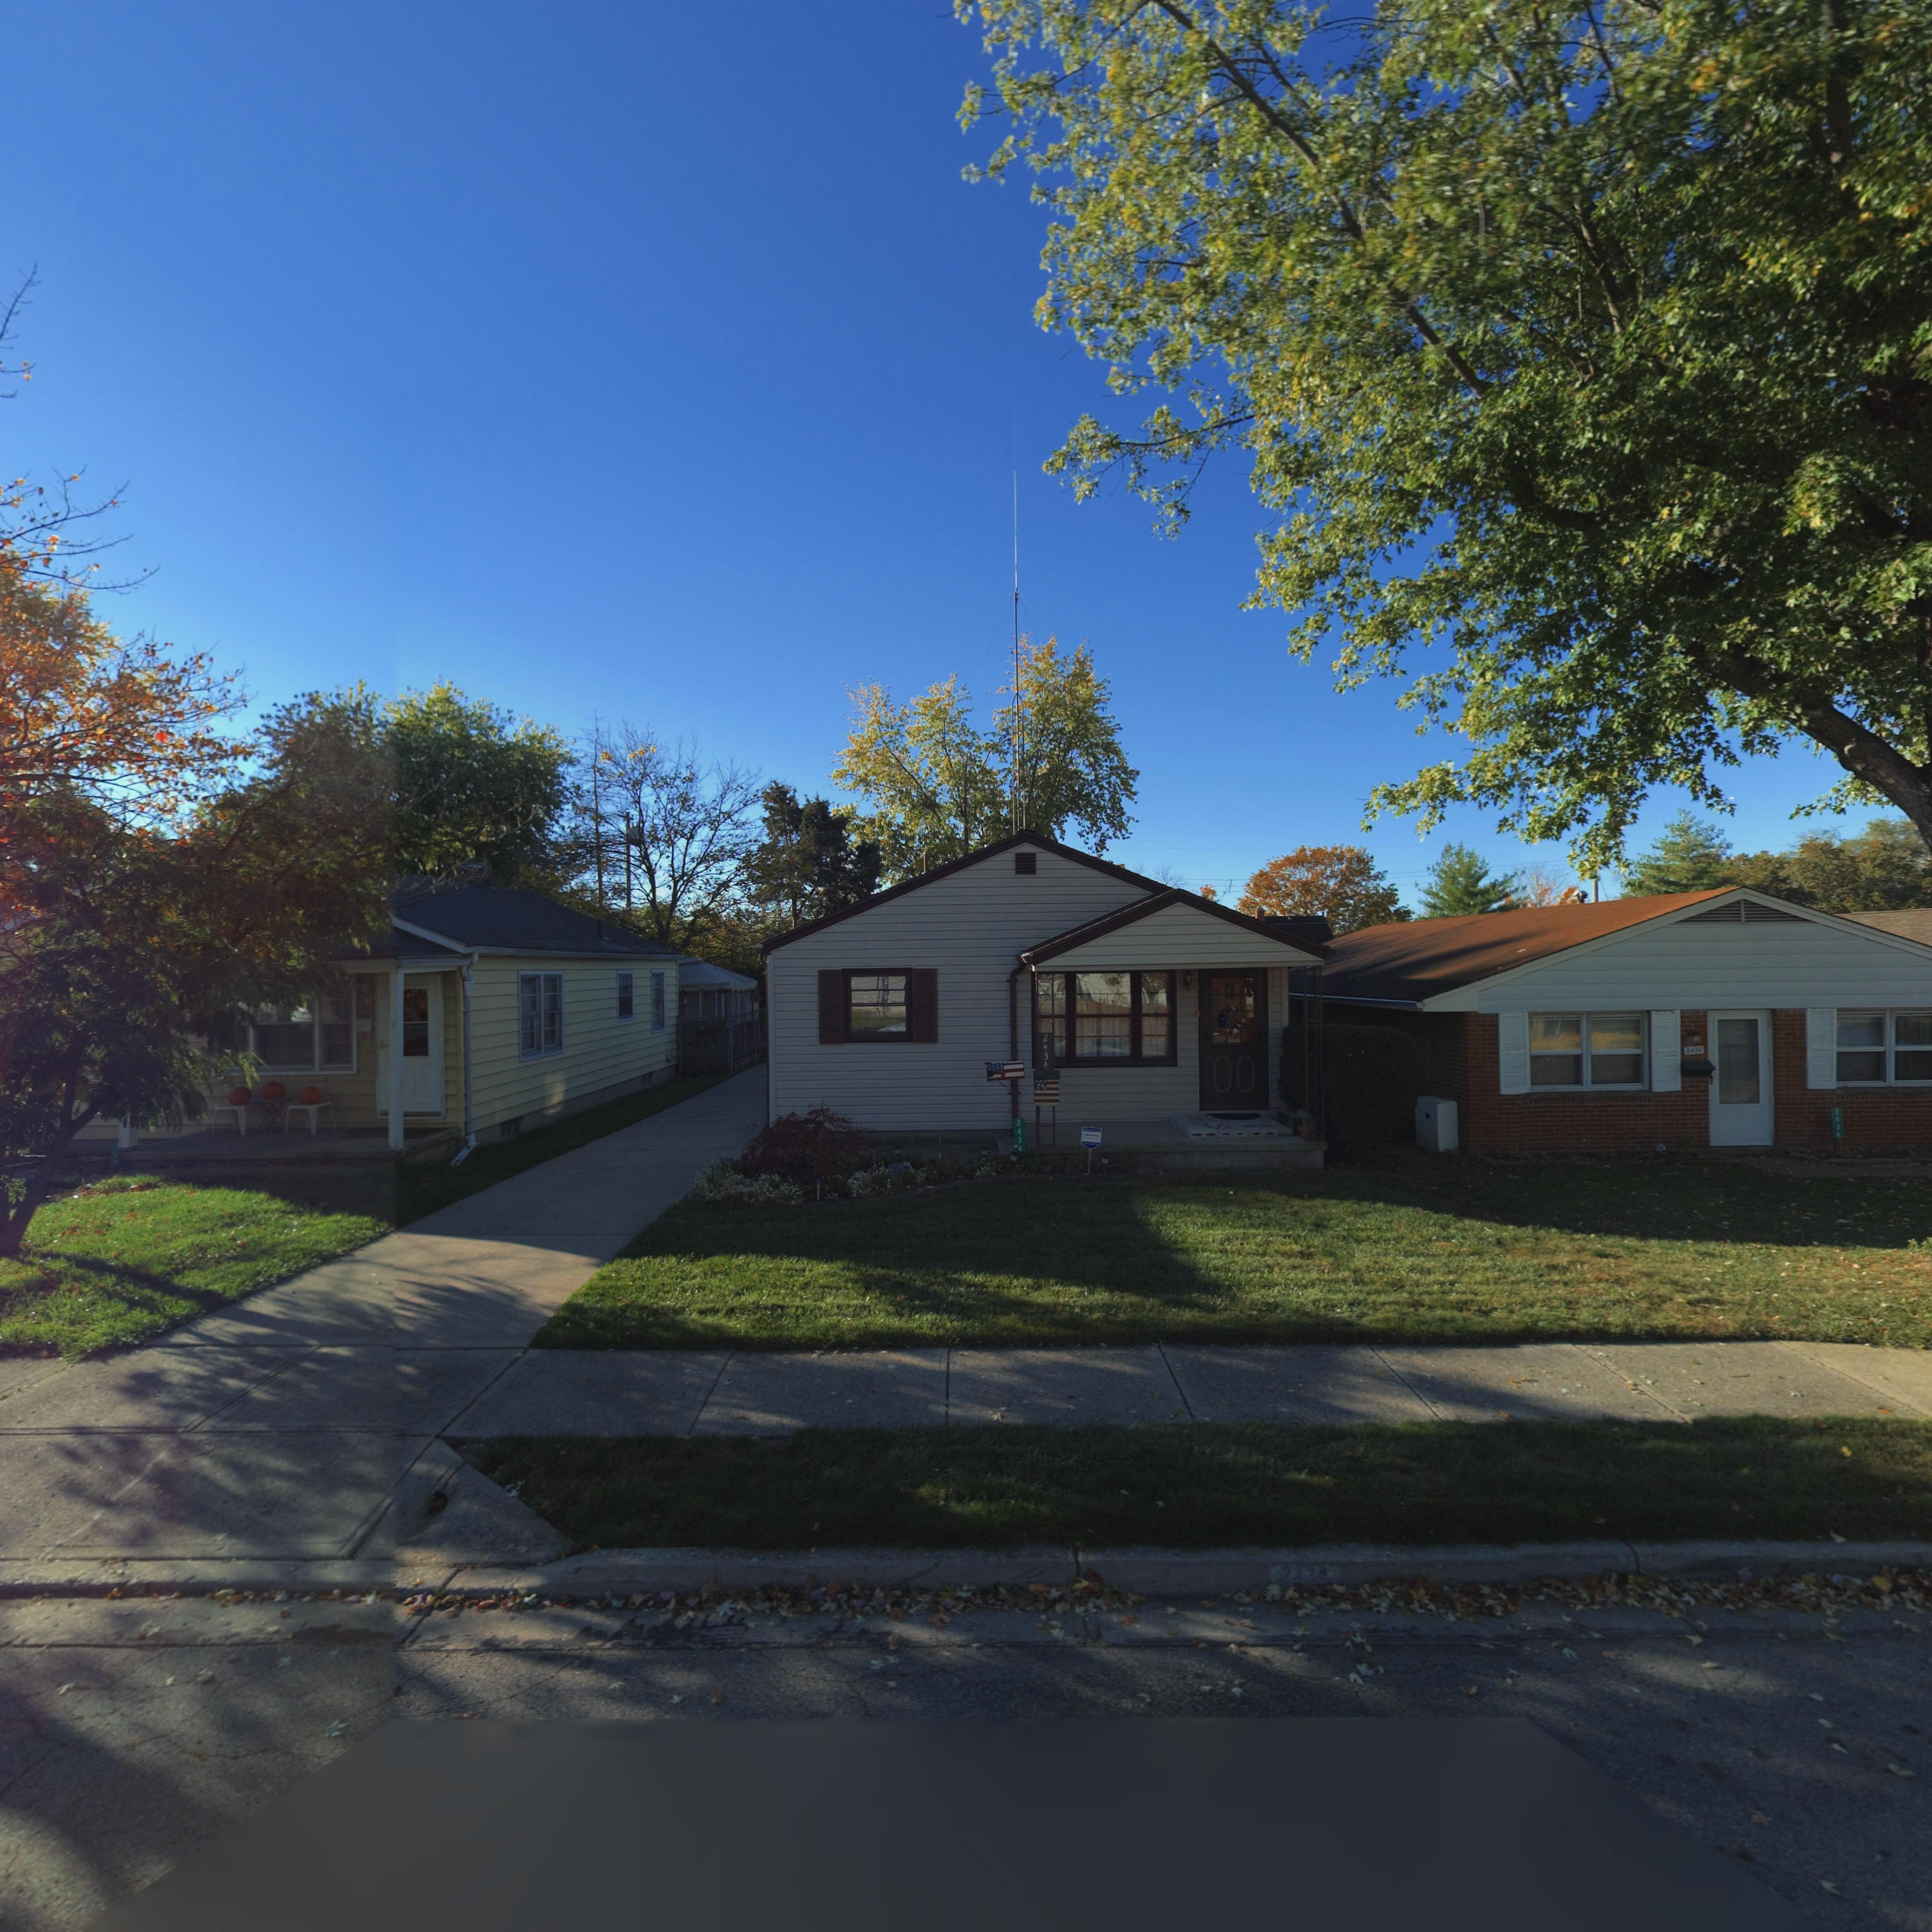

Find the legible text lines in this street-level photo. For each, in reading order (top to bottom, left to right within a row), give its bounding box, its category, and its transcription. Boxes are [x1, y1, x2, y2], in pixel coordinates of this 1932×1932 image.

[1042, 1033, 1049, 1068] StreetNumber: 2434
[1686, 1046, 1703, 1054] StreetNumber: 2438
[1016, 1118, 1022, 1151] StreetNumber: 2434
[1834, 1107, 1842, 1139] StreetNumber: 2438